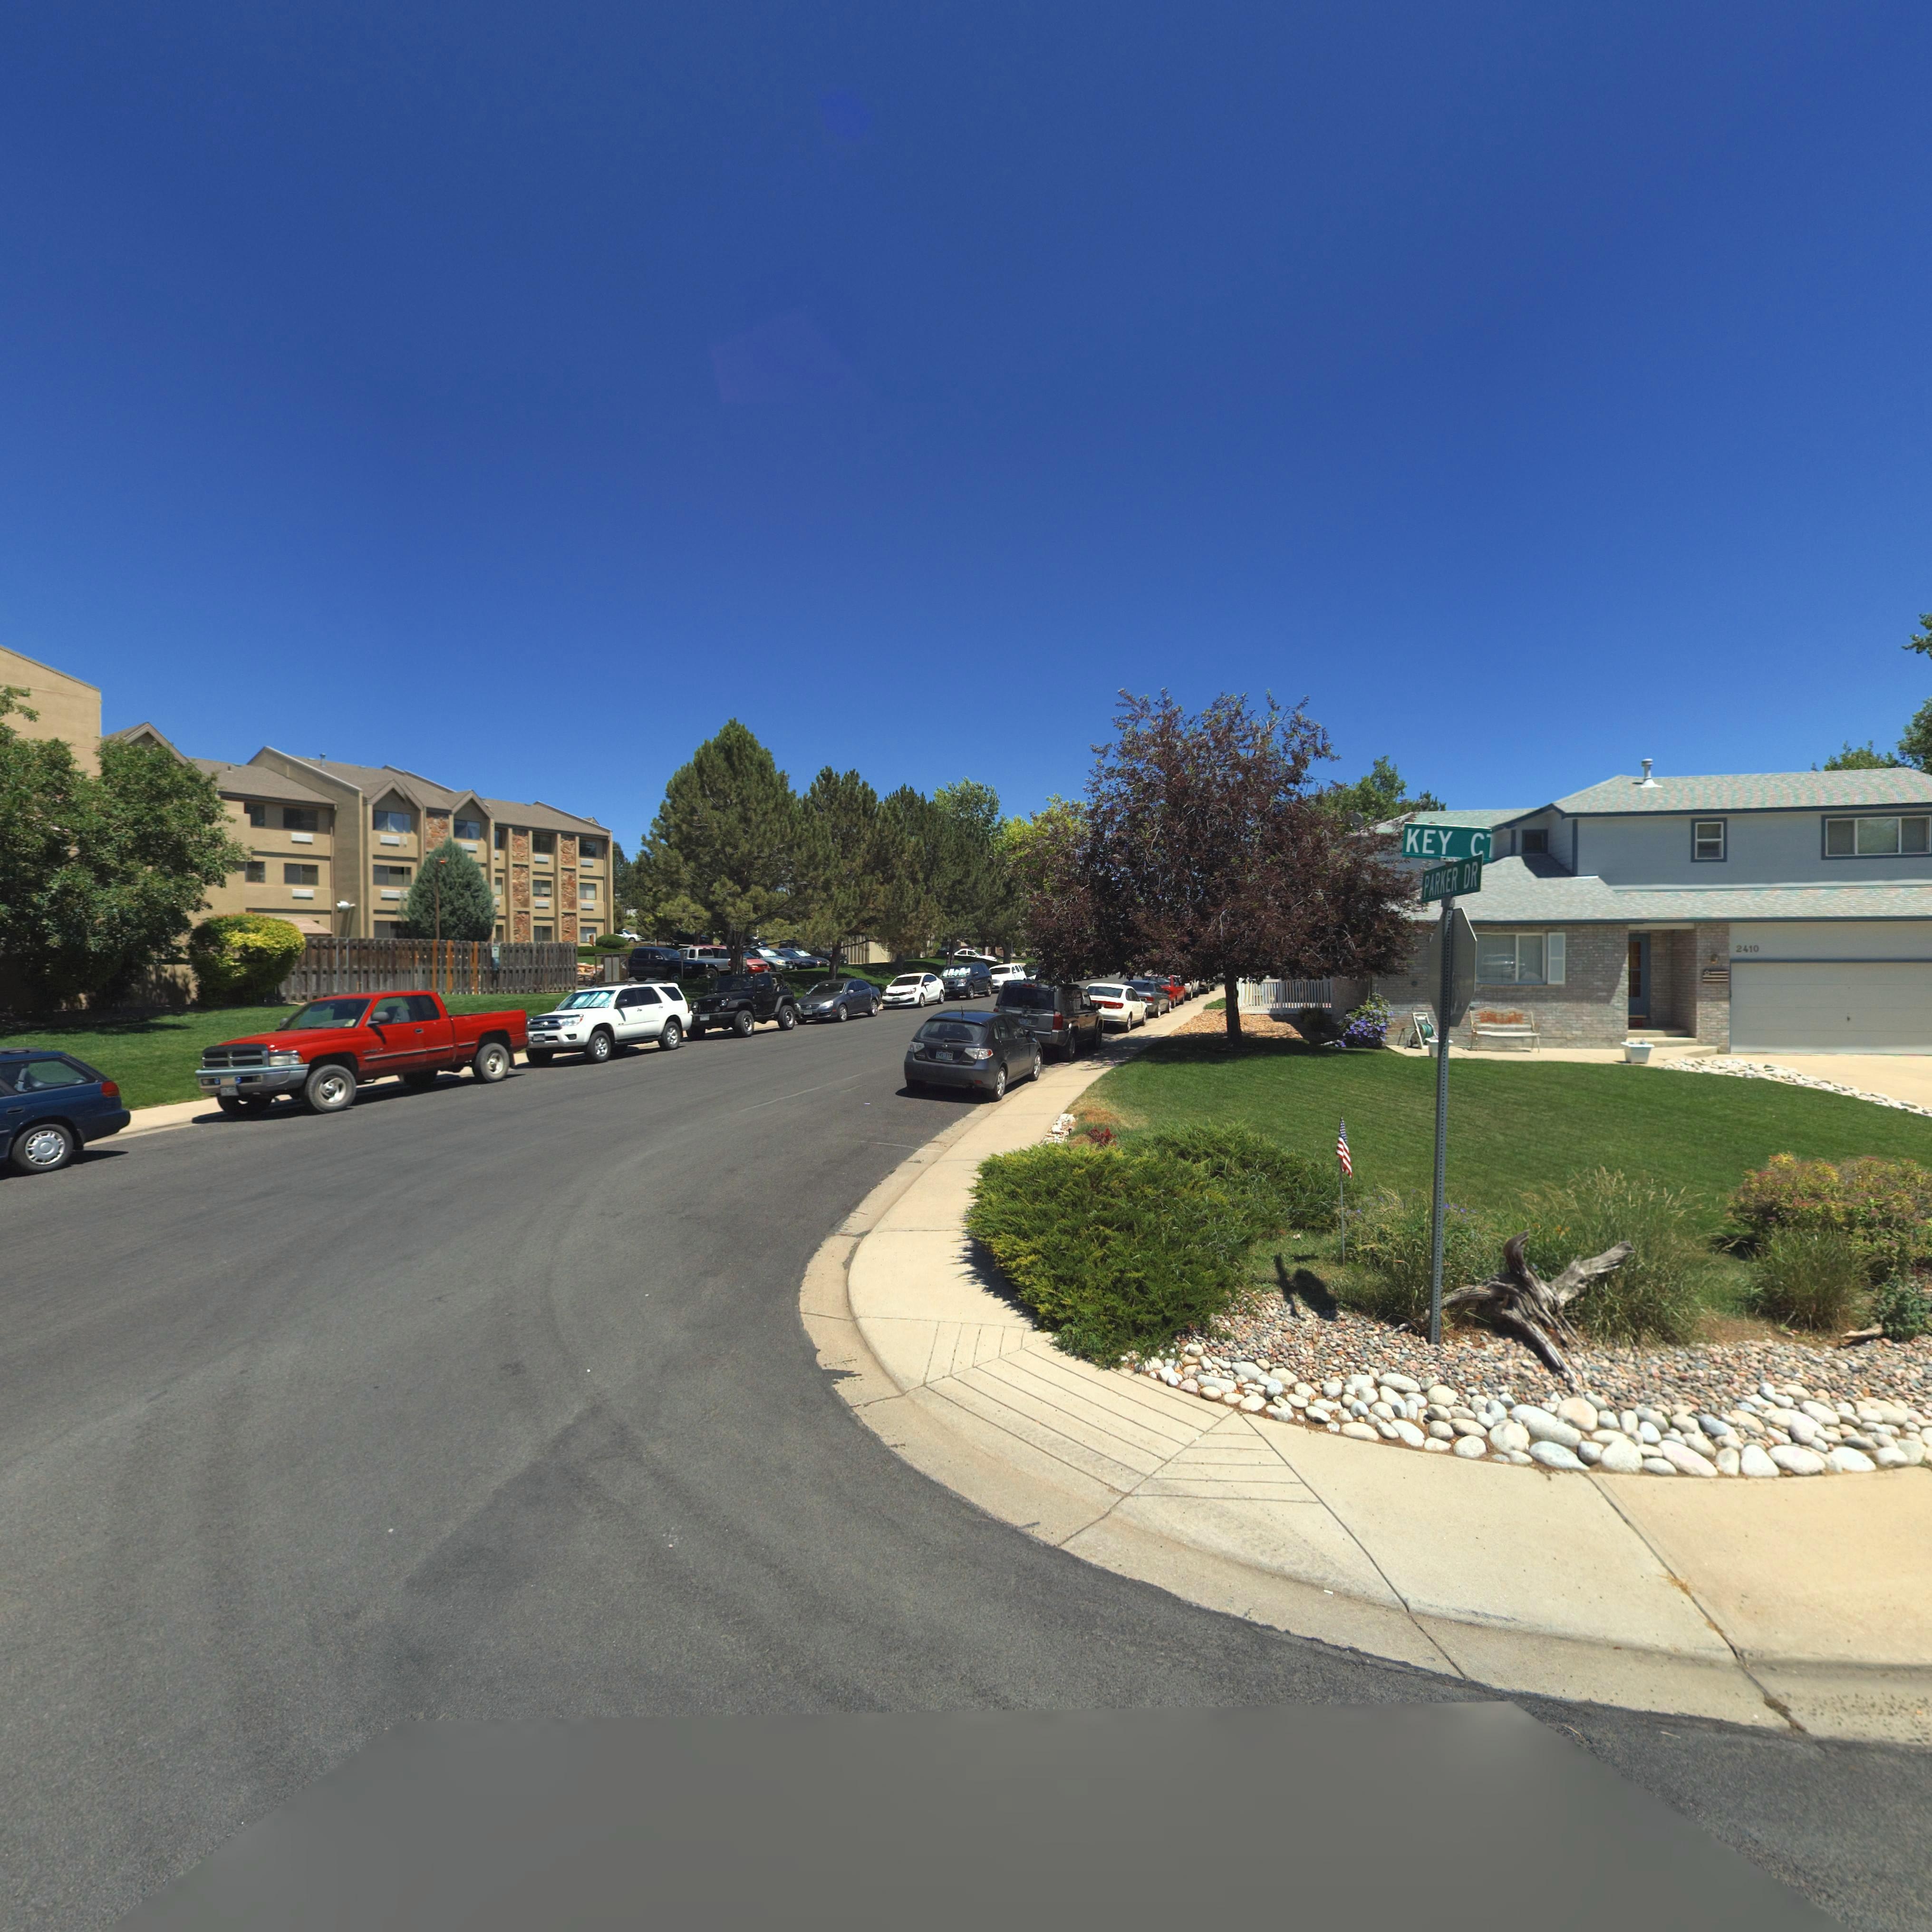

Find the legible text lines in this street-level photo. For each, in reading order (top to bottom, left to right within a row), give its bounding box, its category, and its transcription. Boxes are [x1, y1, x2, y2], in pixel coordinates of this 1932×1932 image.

[1405, 828, 1492, 859] StreetName: KEY C*
[1423, 860, 1478, 898] BusinessName: PARKER DR
[1735, 944, 1759, 953] StreetNumber: 2410